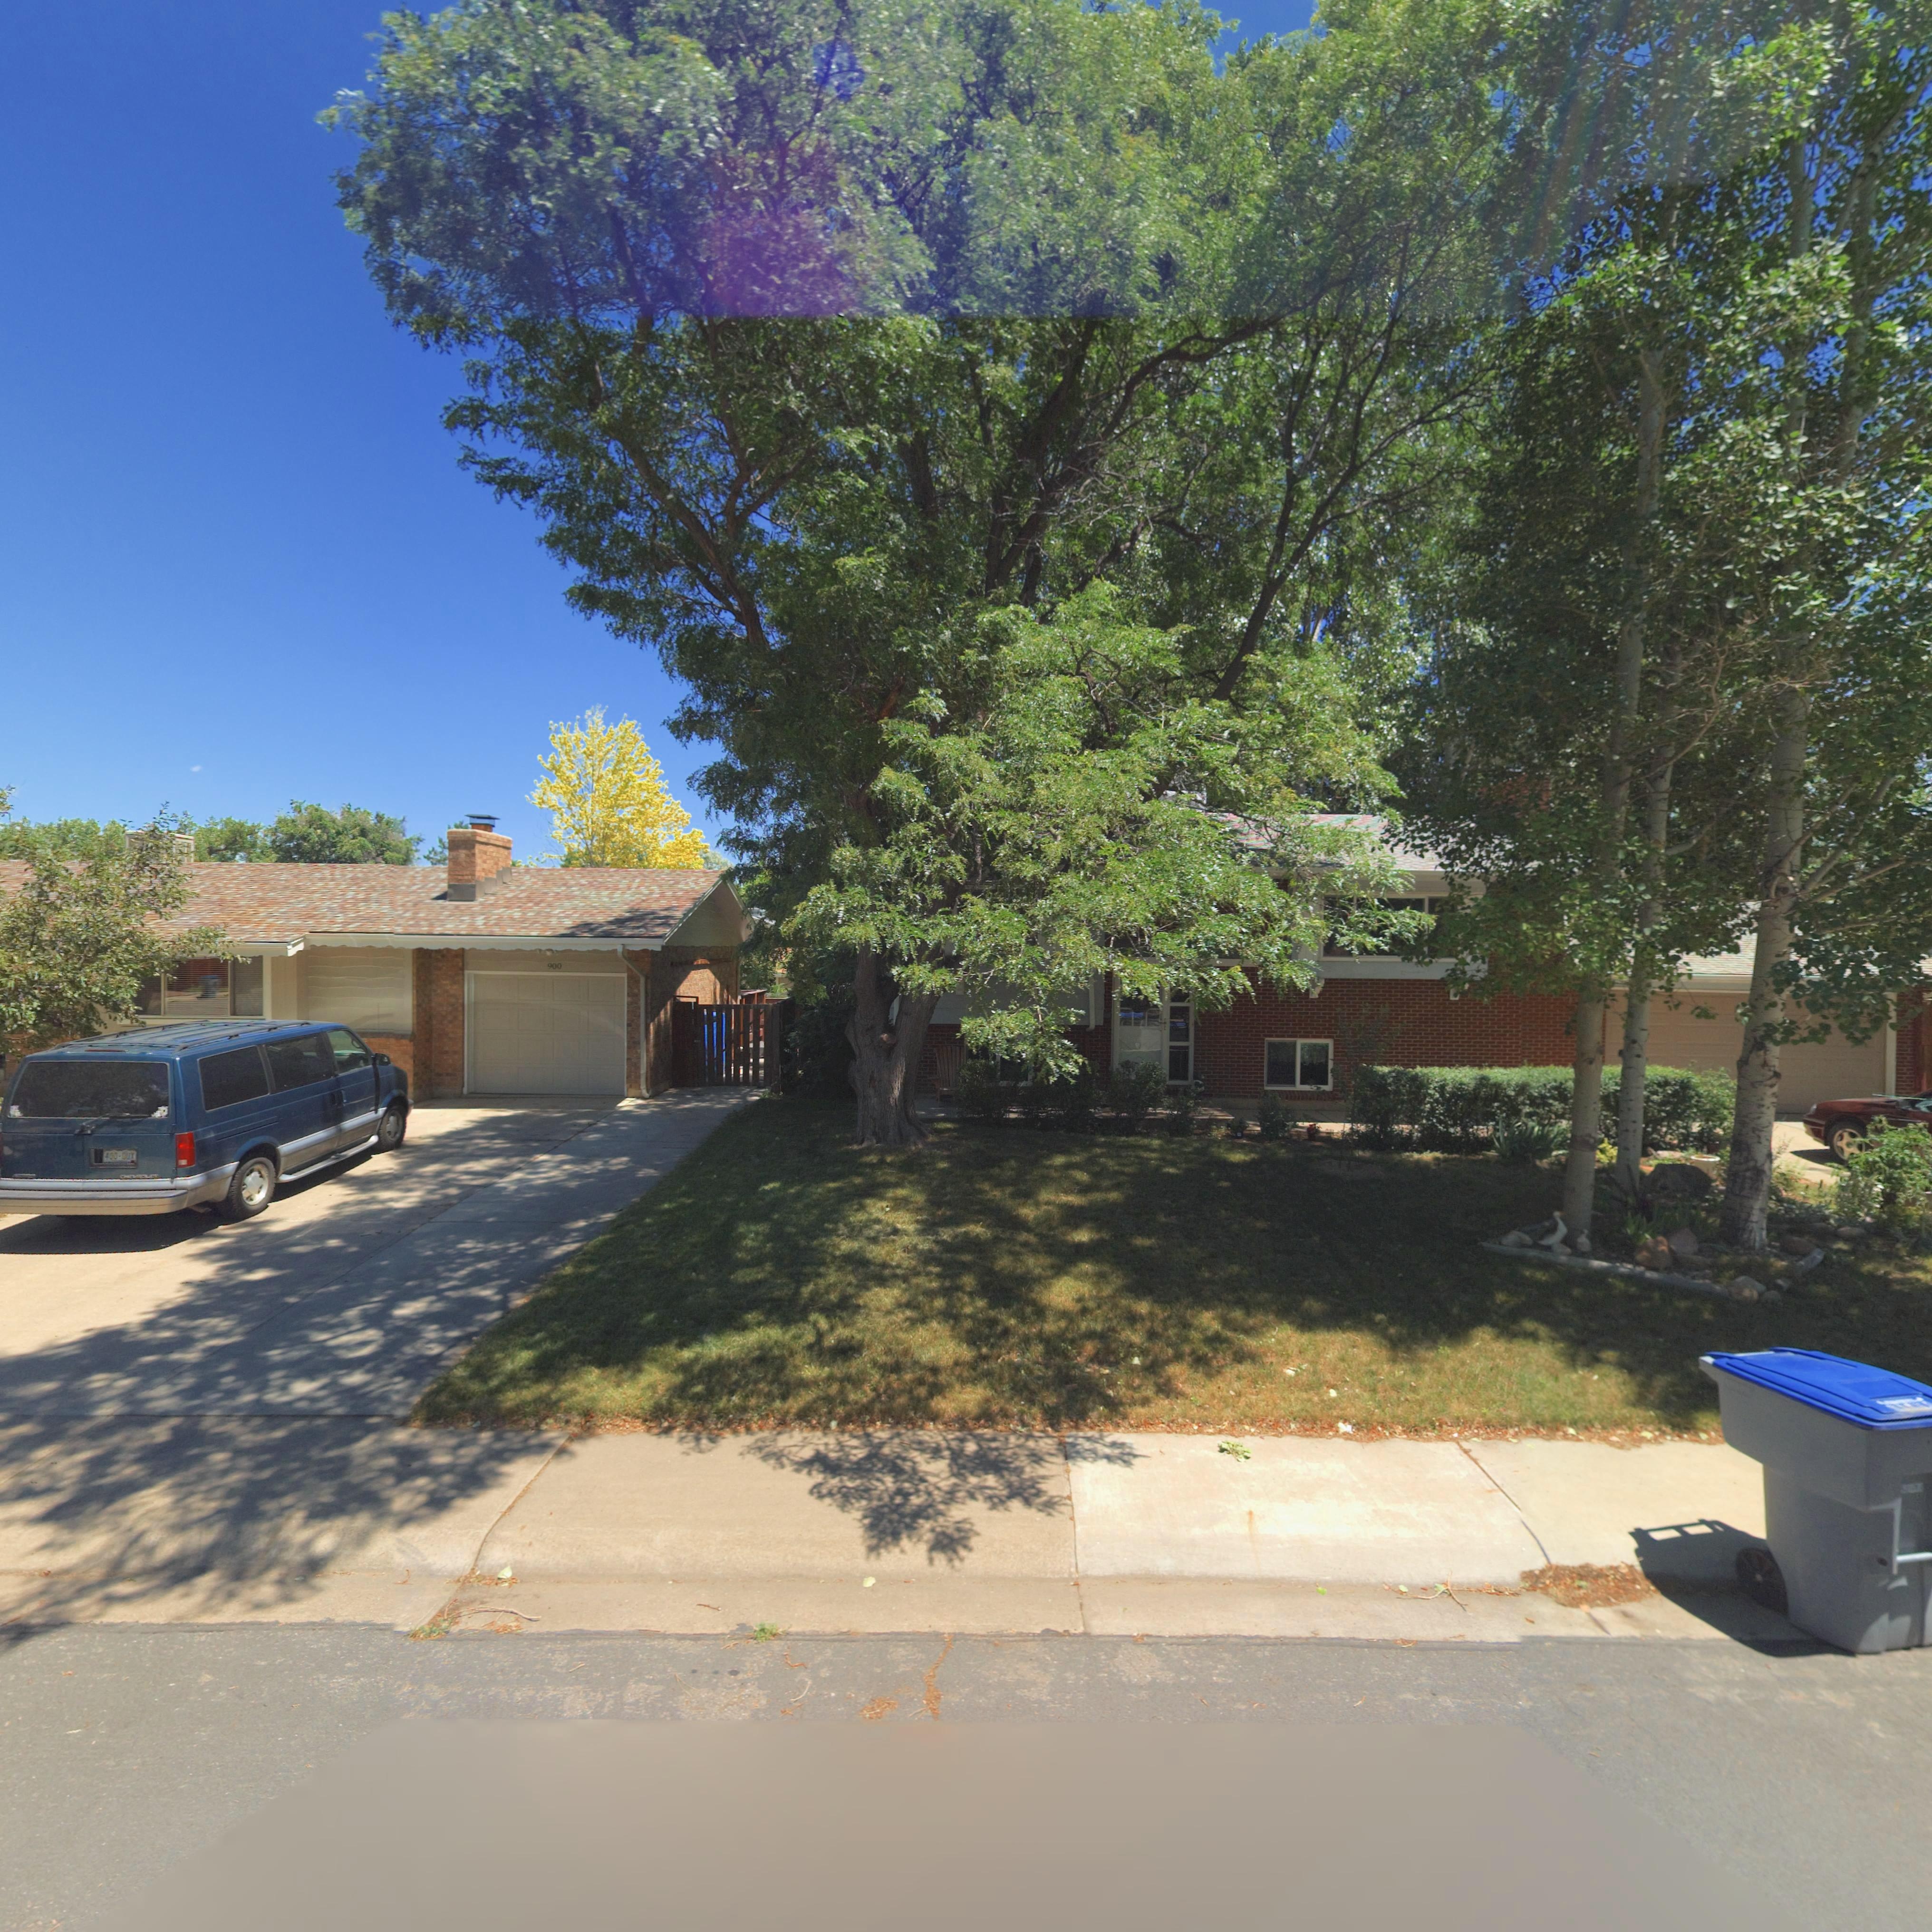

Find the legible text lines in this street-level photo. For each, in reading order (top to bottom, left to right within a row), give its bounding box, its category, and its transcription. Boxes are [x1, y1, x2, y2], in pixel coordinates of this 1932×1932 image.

[548, 962, 562, 970] StreetNumber: 900